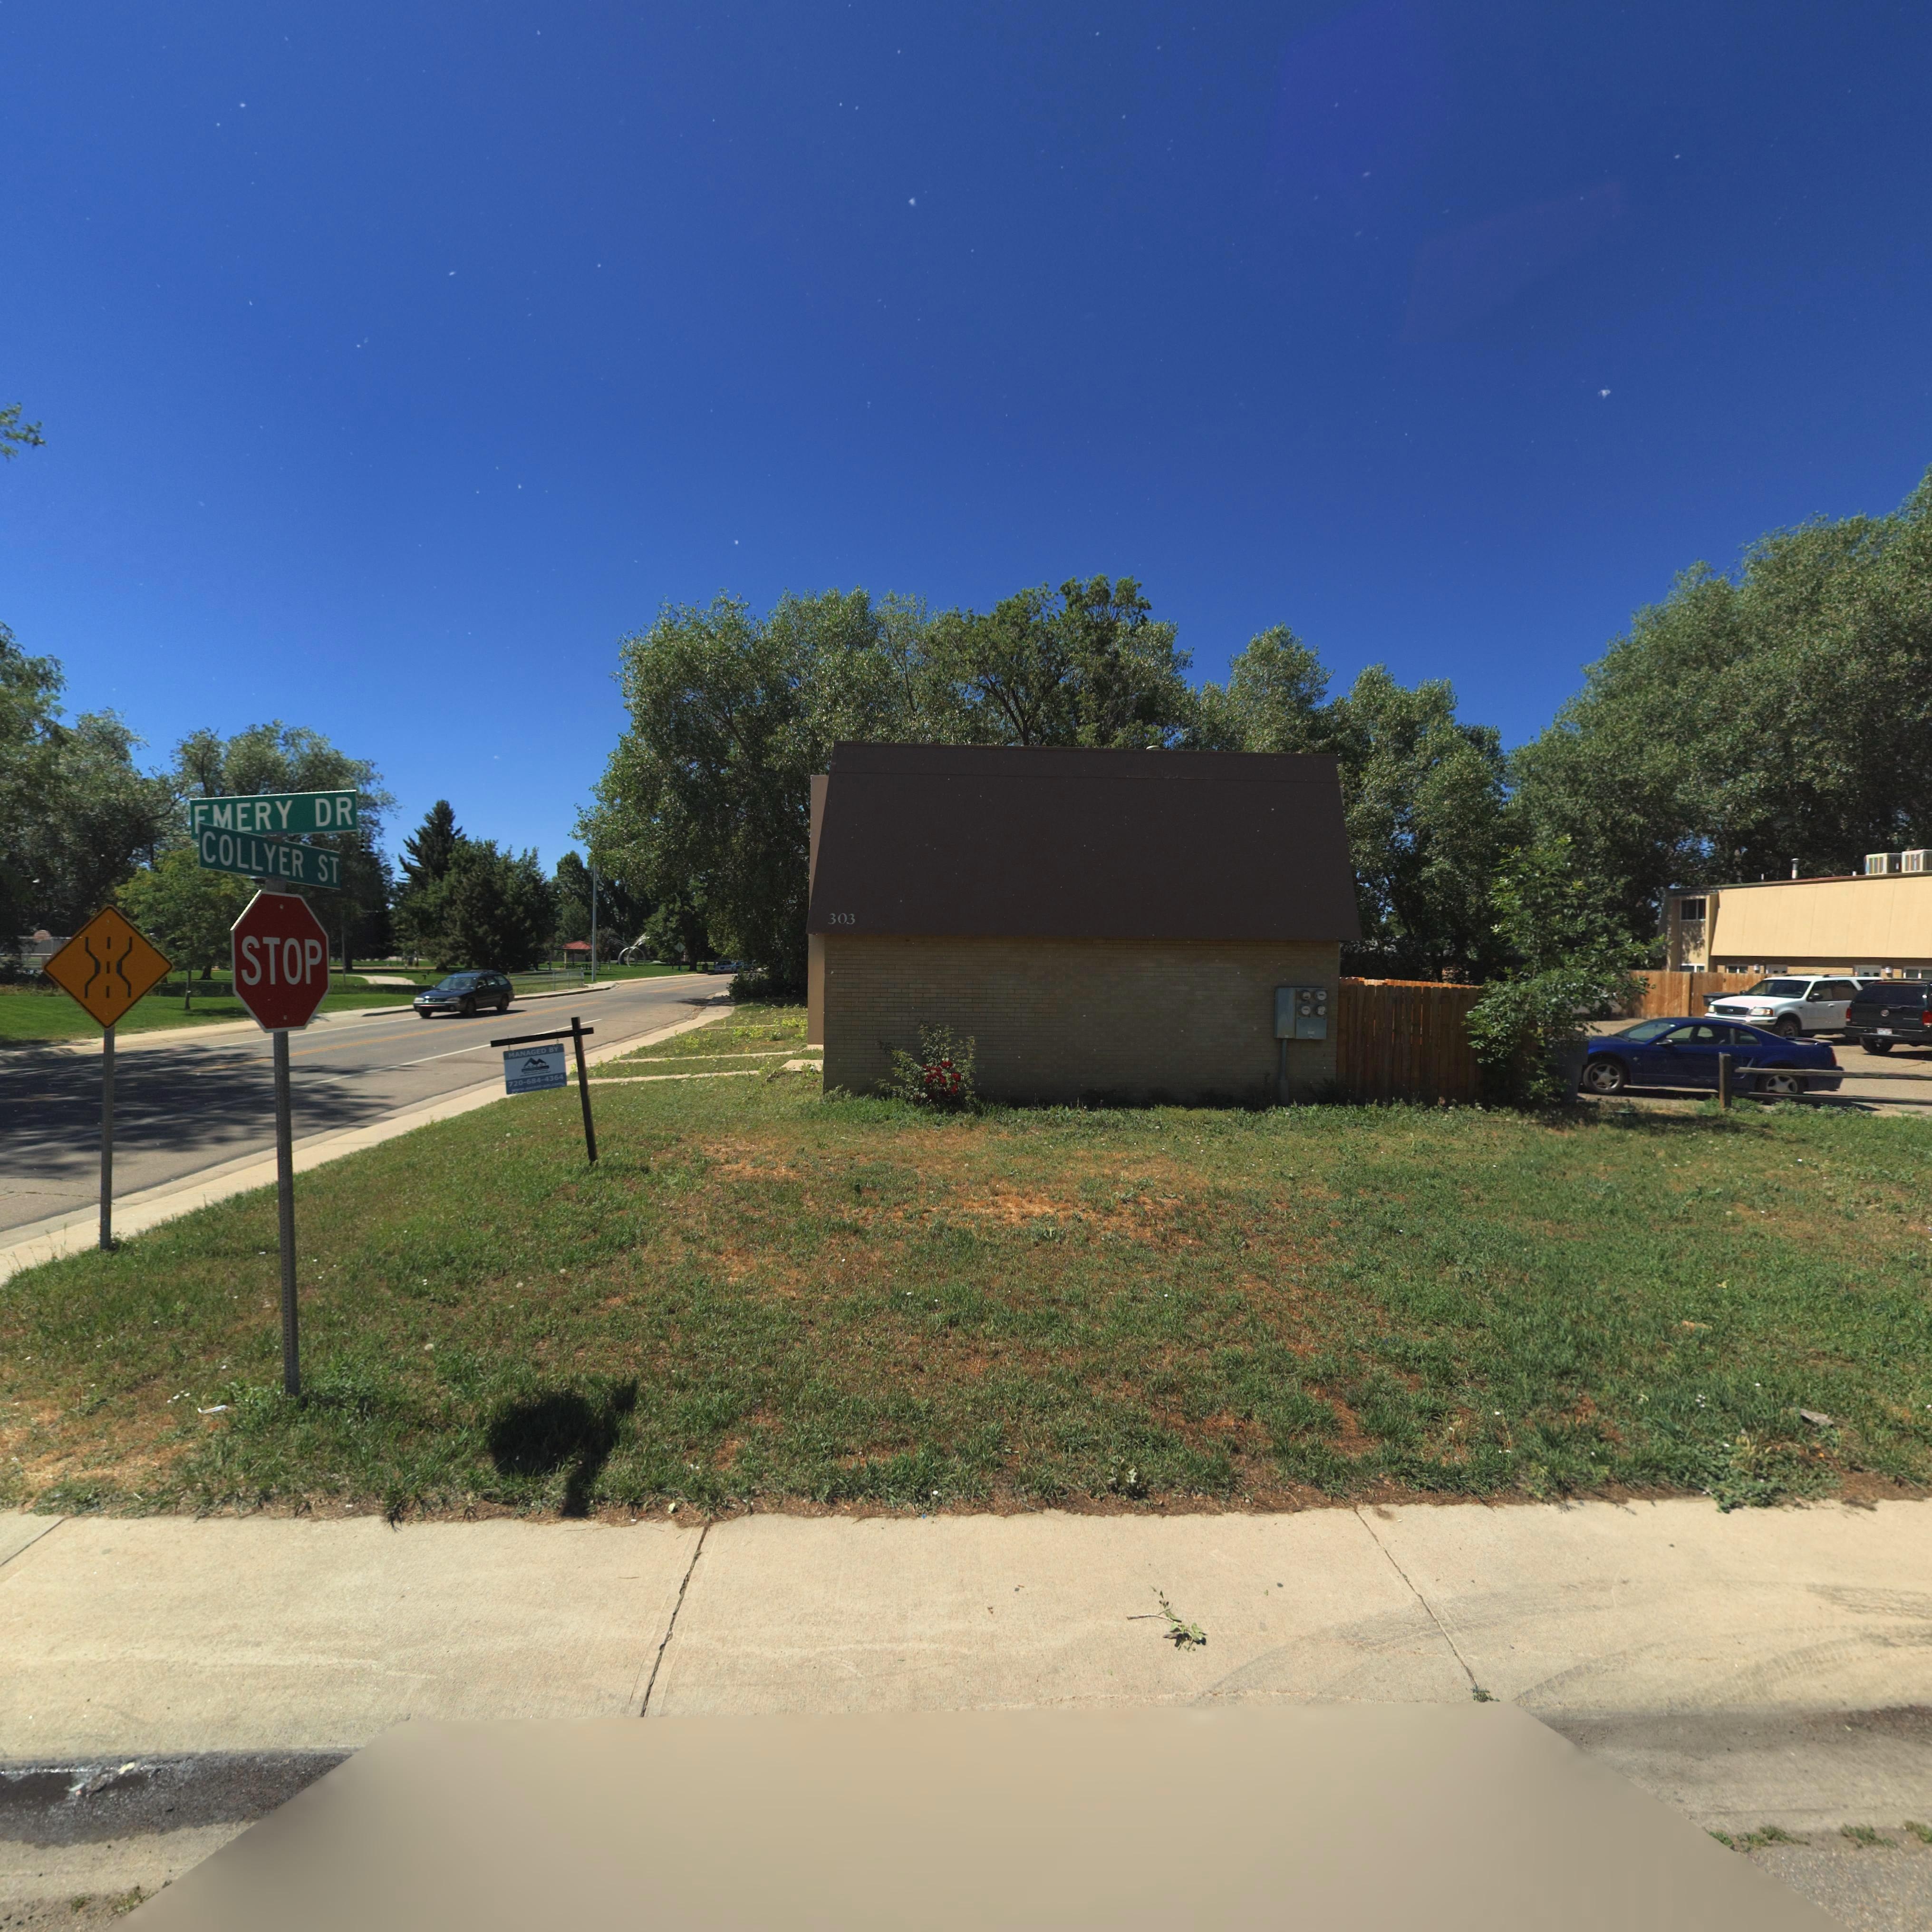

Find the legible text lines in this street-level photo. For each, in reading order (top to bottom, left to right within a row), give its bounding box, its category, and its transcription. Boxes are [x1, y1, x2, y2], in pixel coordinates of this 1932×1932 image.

[192, 793, 354, 834] StreetName: EMERY DR
[200, 828, 342, 887] StreetName: COLLYER ST
[826, 912, 856, 926] StreetNumber: 303